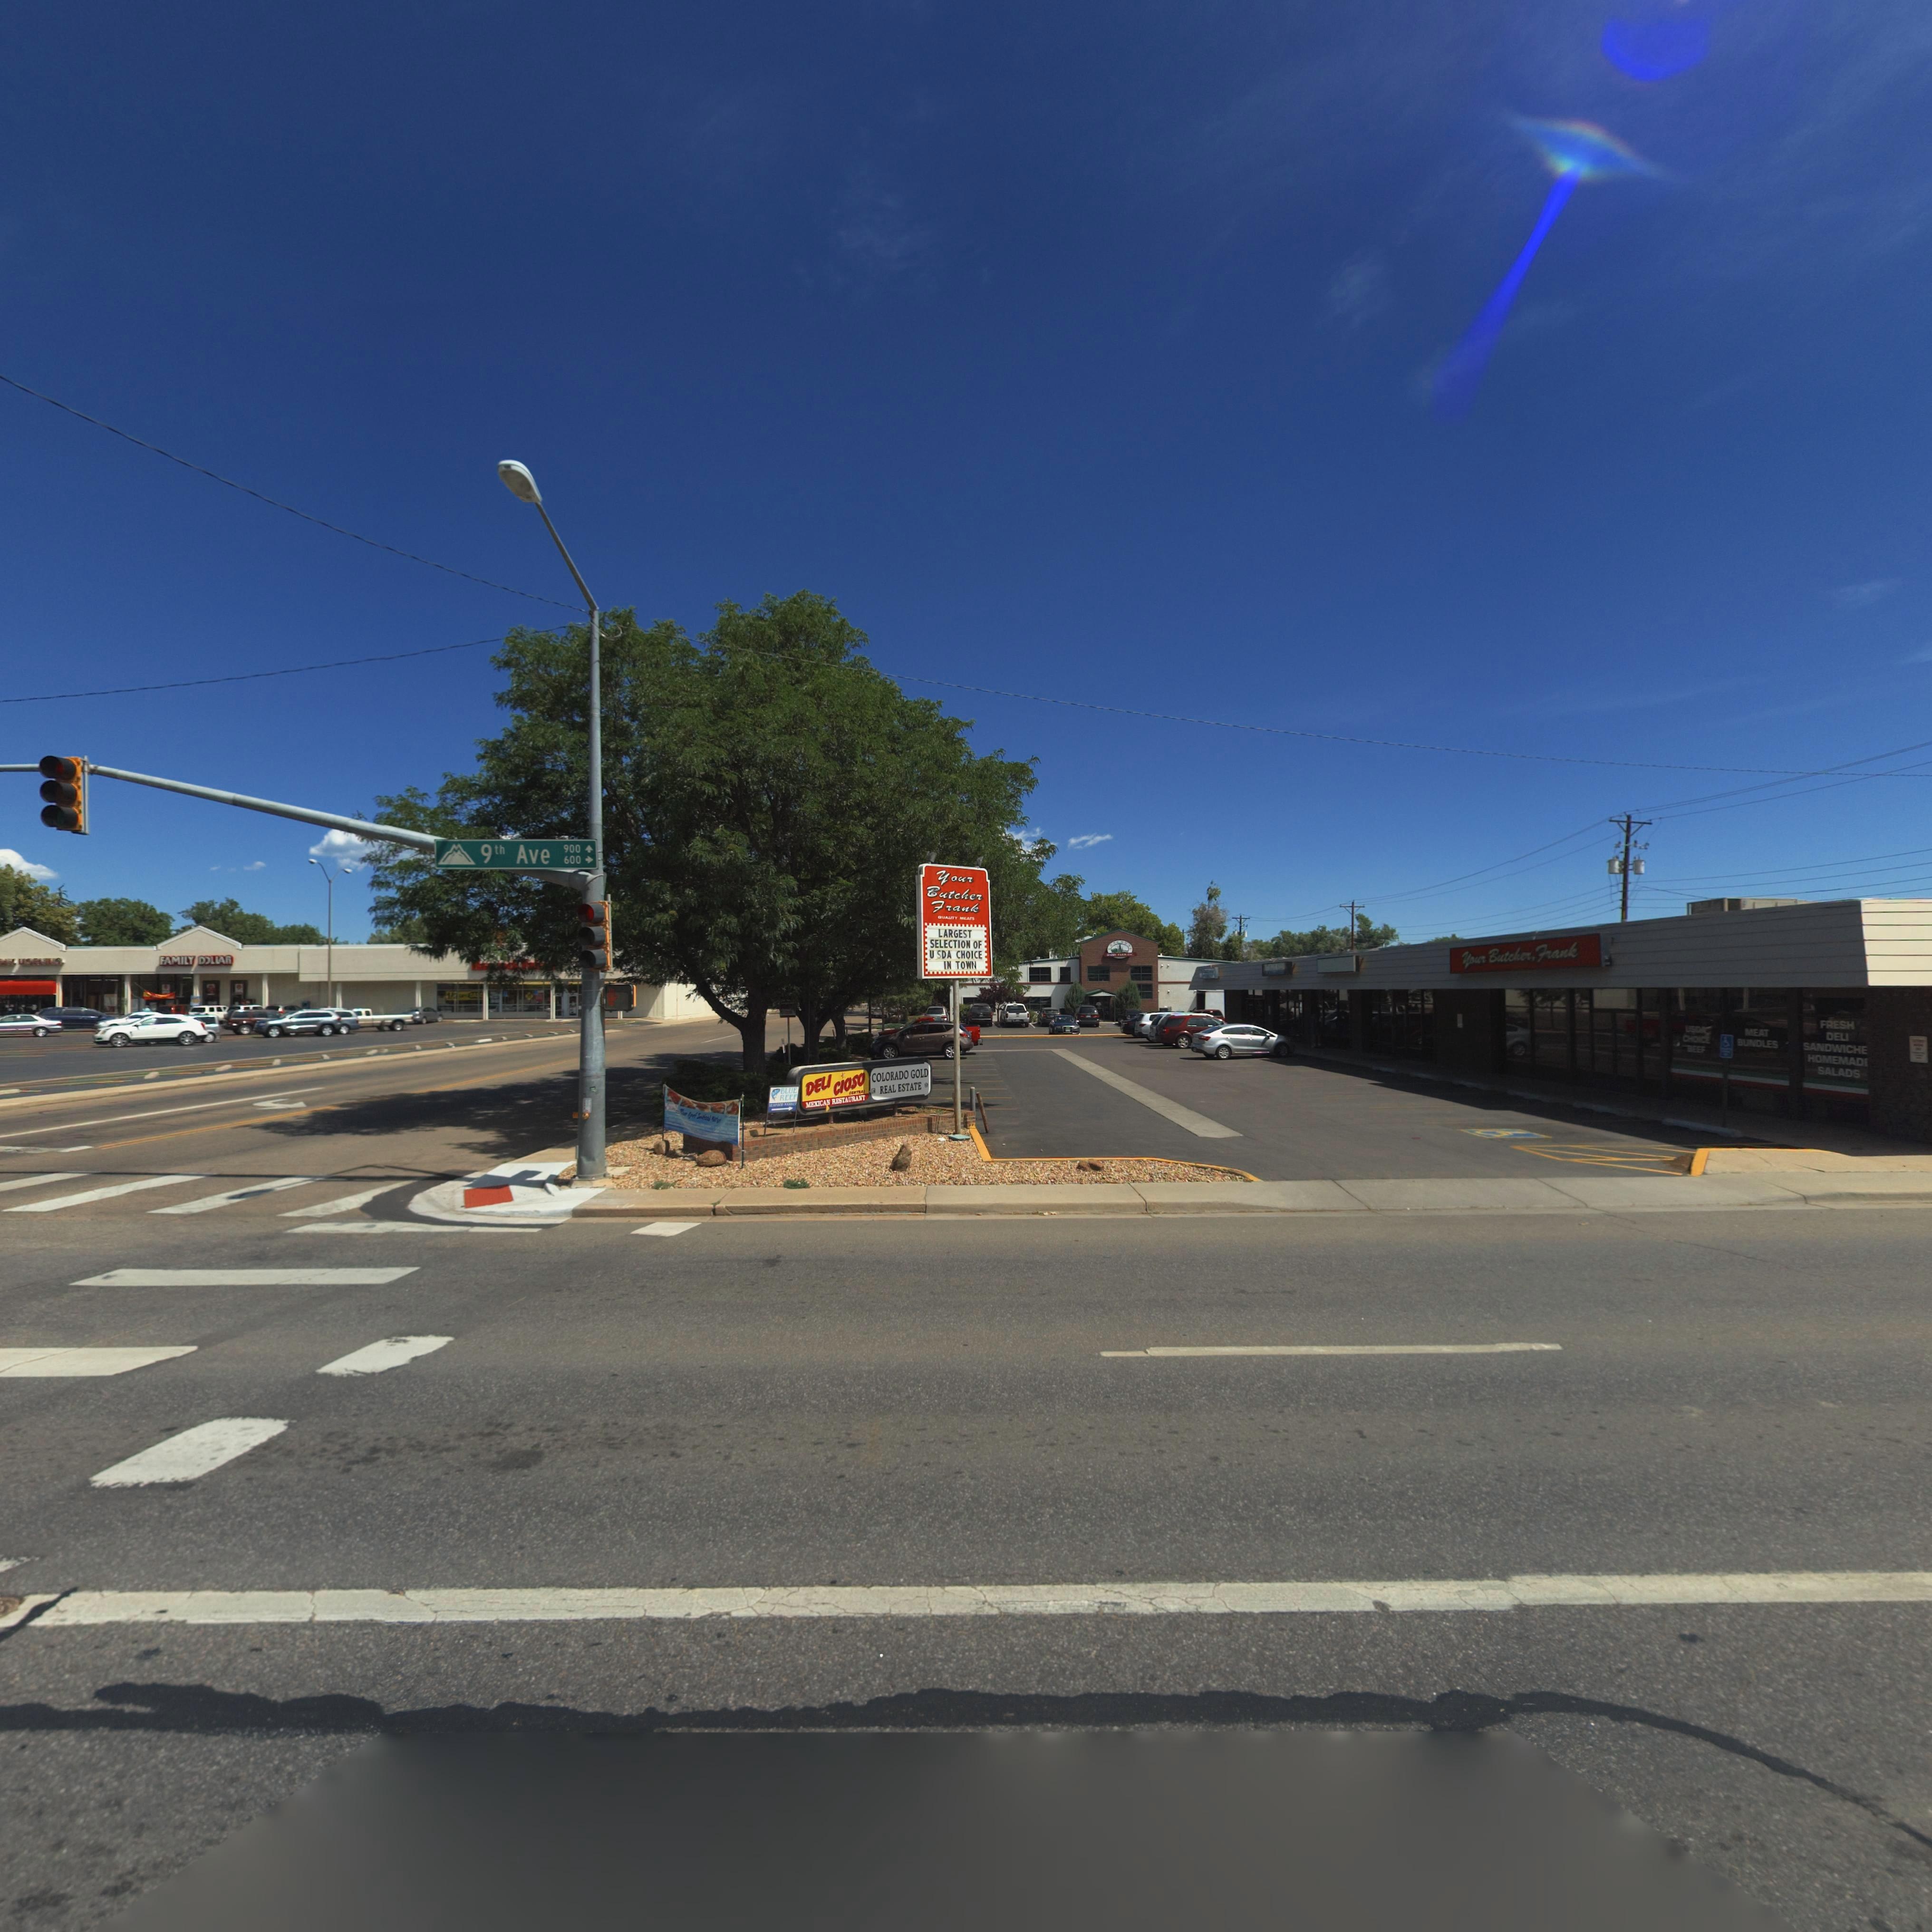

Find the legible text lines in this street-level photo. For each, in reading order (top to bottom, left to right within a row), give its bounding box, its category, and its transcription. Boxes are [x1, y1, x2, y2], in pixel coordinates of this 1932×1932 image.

[480, 843, 551, 865] StreetName: 9th Ave
[563, 843, 581, 853] StreetNumberRange: 900
[563, 855, 595, 864] StreetNumberRange: 600->
[935, 869, 973, 886] BusinessName: Your
[926, 885, 983, 901] BusinessName: Butcher
[930, 900, 979, 913] BusinessName: Frank
[158, 955, 232, 966] BusinessName: FAMILY D*L*A*
[1460, 942, 1579, 970] BusinessName: Your Butc**r, Frank
[871, 1068, 929, 1083] BusinessName: COLORADO GOLD
[780, 1093, 797, 1101] BusinessName: REEF
[780, 1087, 798, 1094] BusinessName: BLUE
[805, 1073, 832, 1096] BusinessName: DELI
[805, 1094, 866, 1108] BusinessName: MEXICA* RESTAURANT
[833, 1072, 866, 1096] BusinessName: CIOSO
[879, 1081, 921, 1094] BusinessName: REAL ESTATE